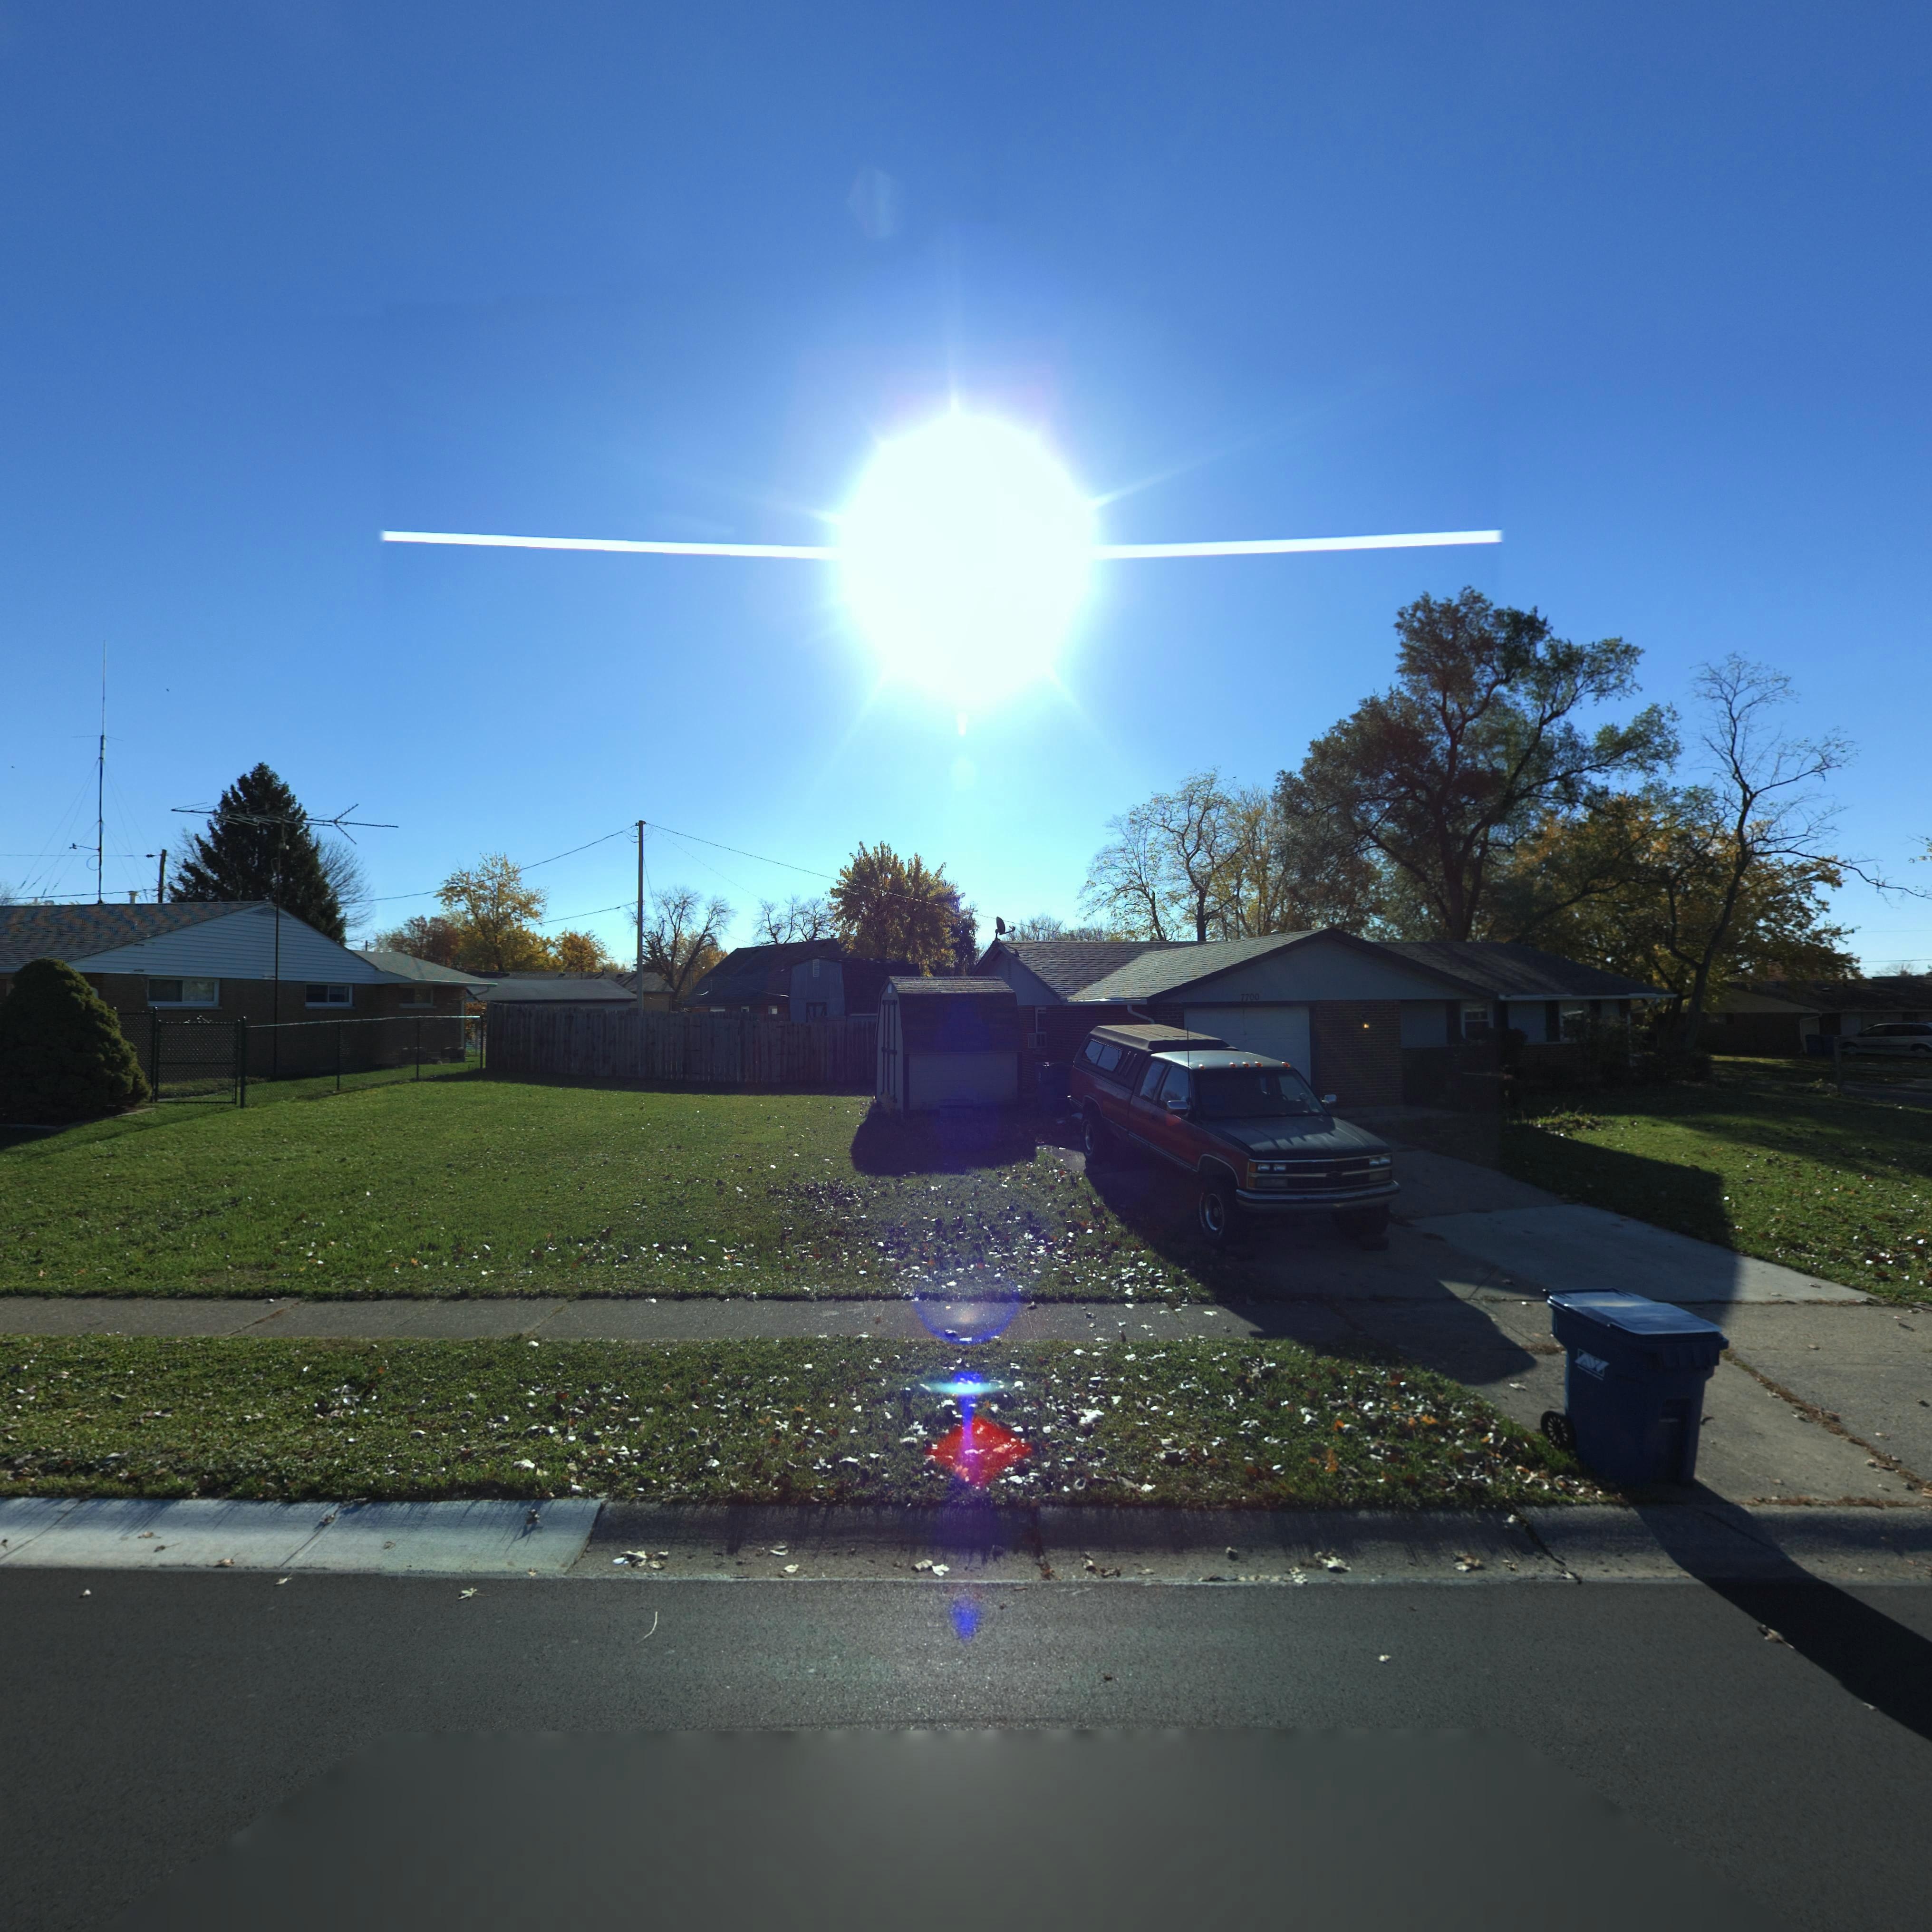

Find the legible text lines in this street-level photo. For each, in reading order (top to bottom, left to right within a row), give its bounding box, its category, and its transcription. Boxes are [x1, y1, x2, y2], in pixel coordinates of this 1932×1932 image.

[1240, 992, 1260, 1003] StreetNumber: 7700